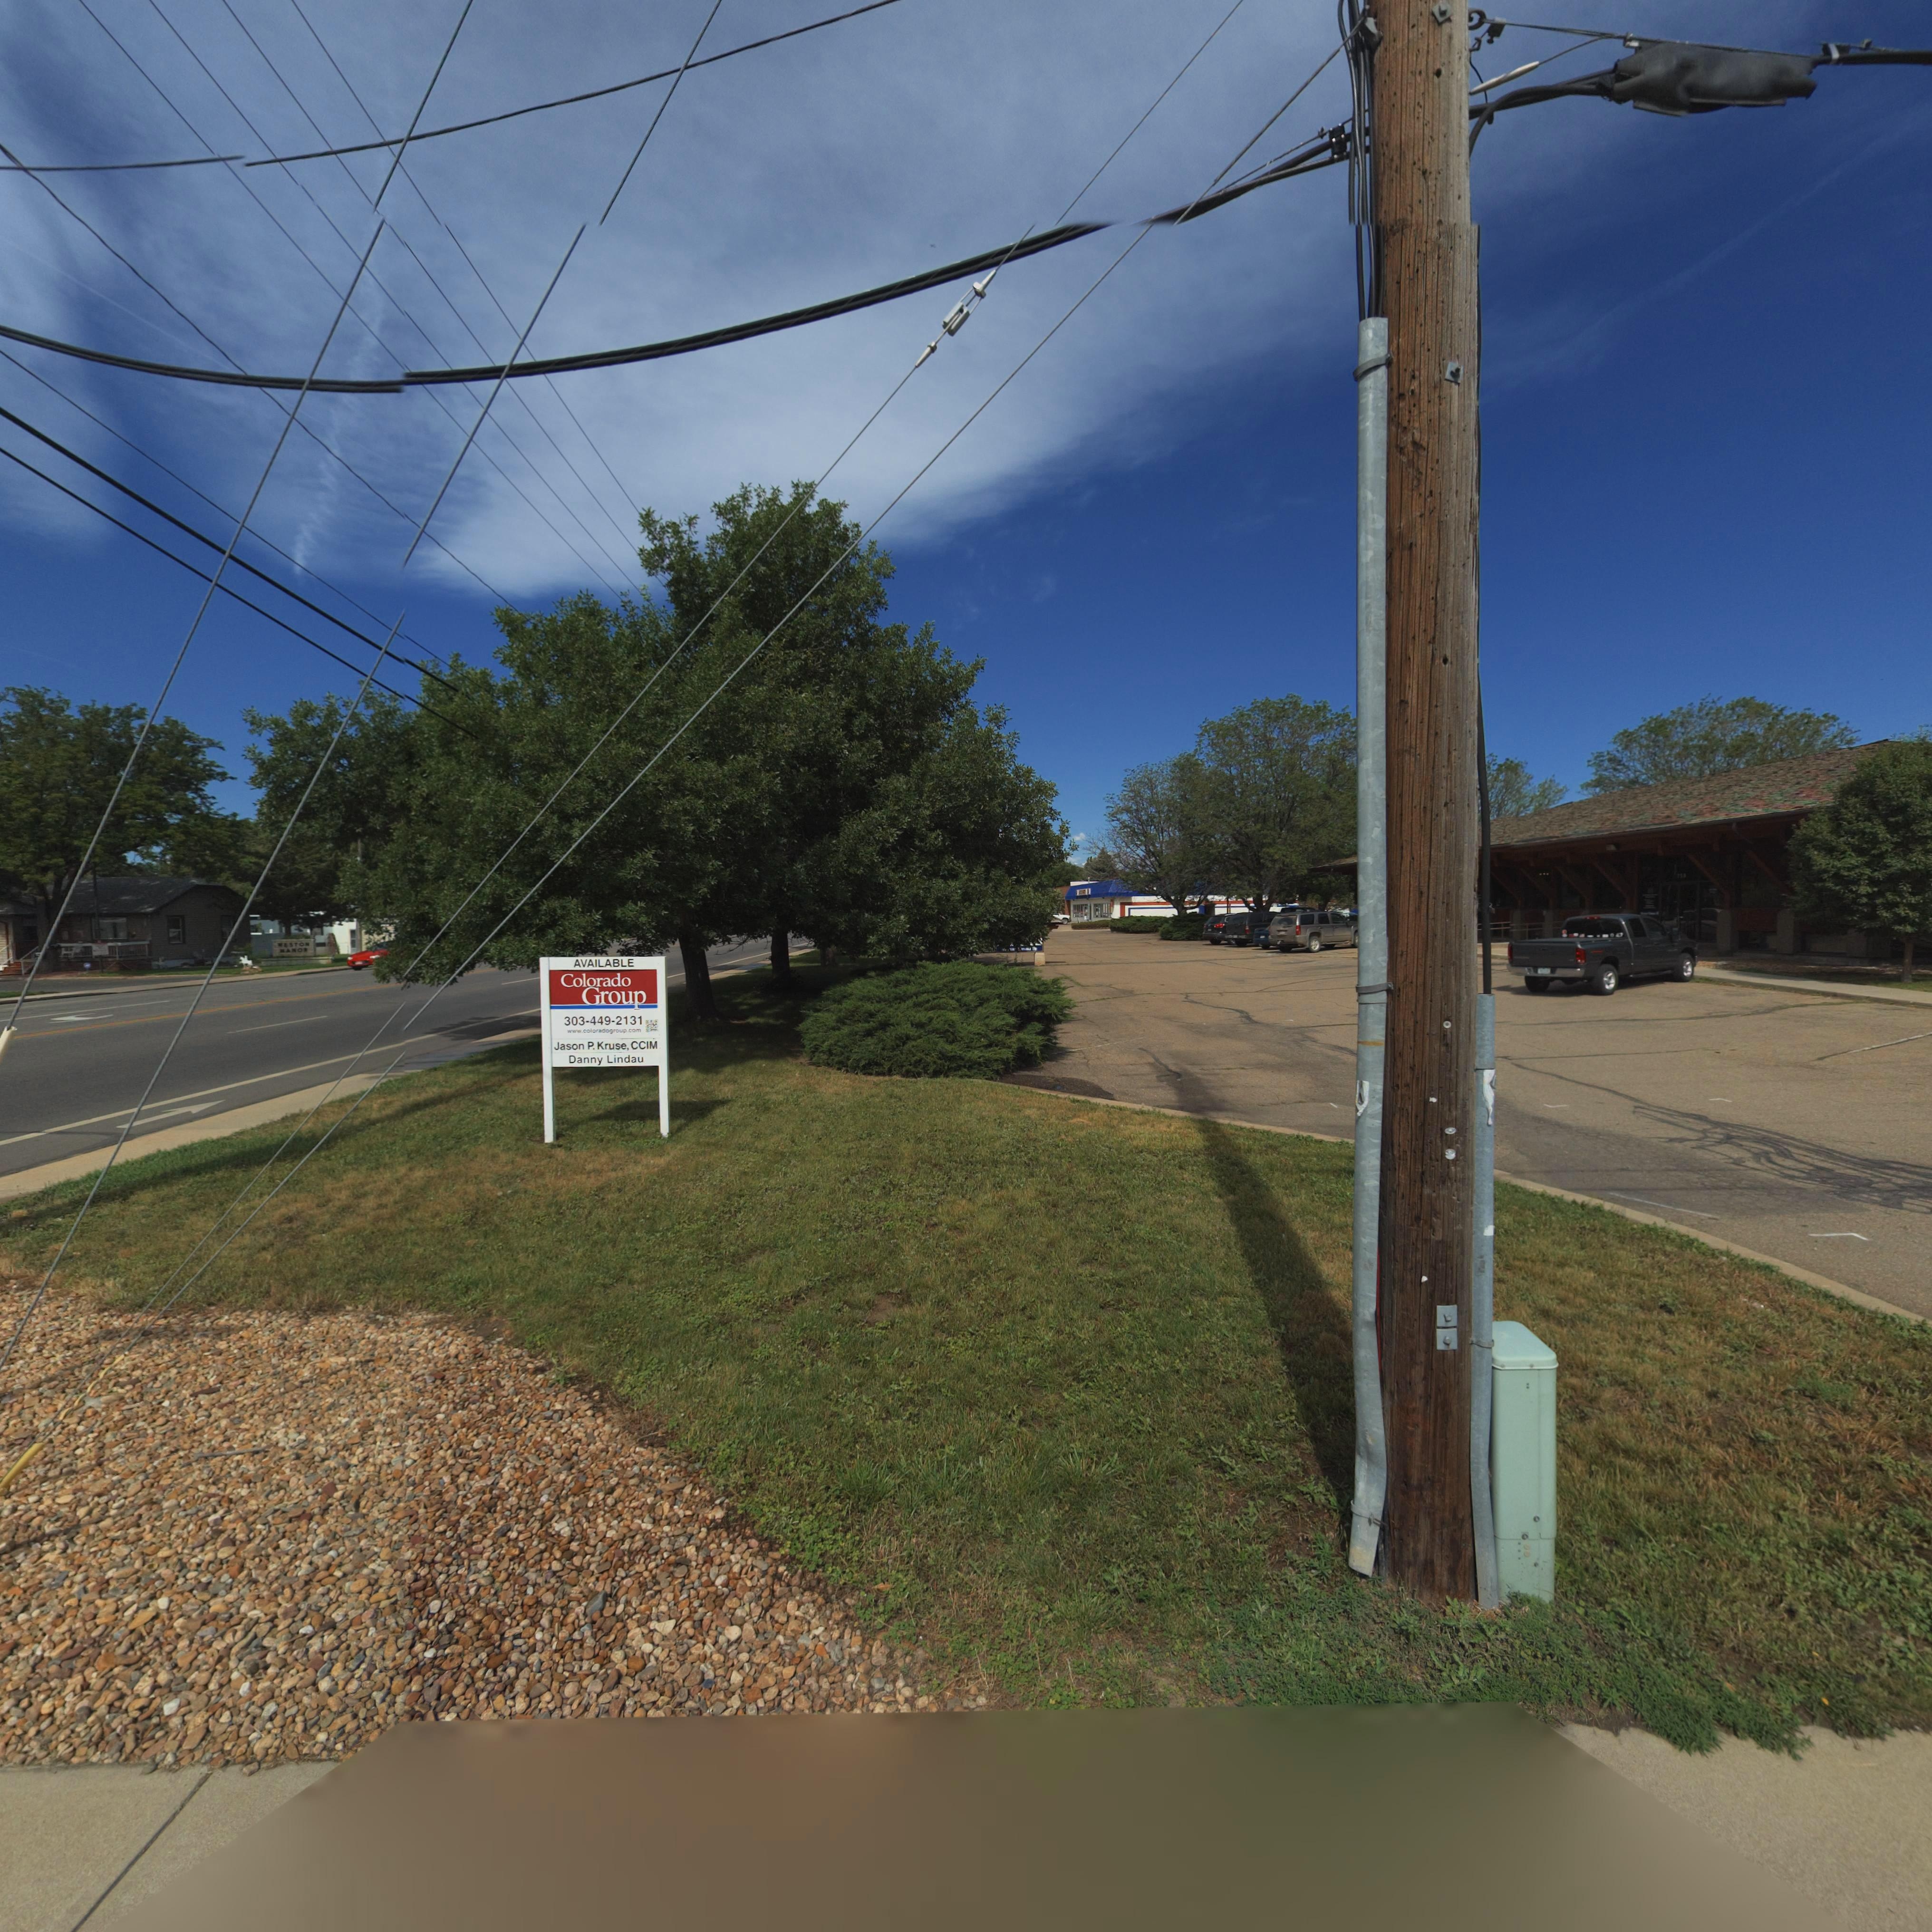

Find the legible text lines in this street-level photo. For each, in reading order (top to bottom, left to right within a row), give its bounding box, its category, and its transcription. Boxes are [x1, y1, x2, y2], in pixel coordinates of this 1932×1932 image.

[277, 942, 309, 947] BusinessName: WESTON
[280, 947, 308, 953] BusinessName: MANOR